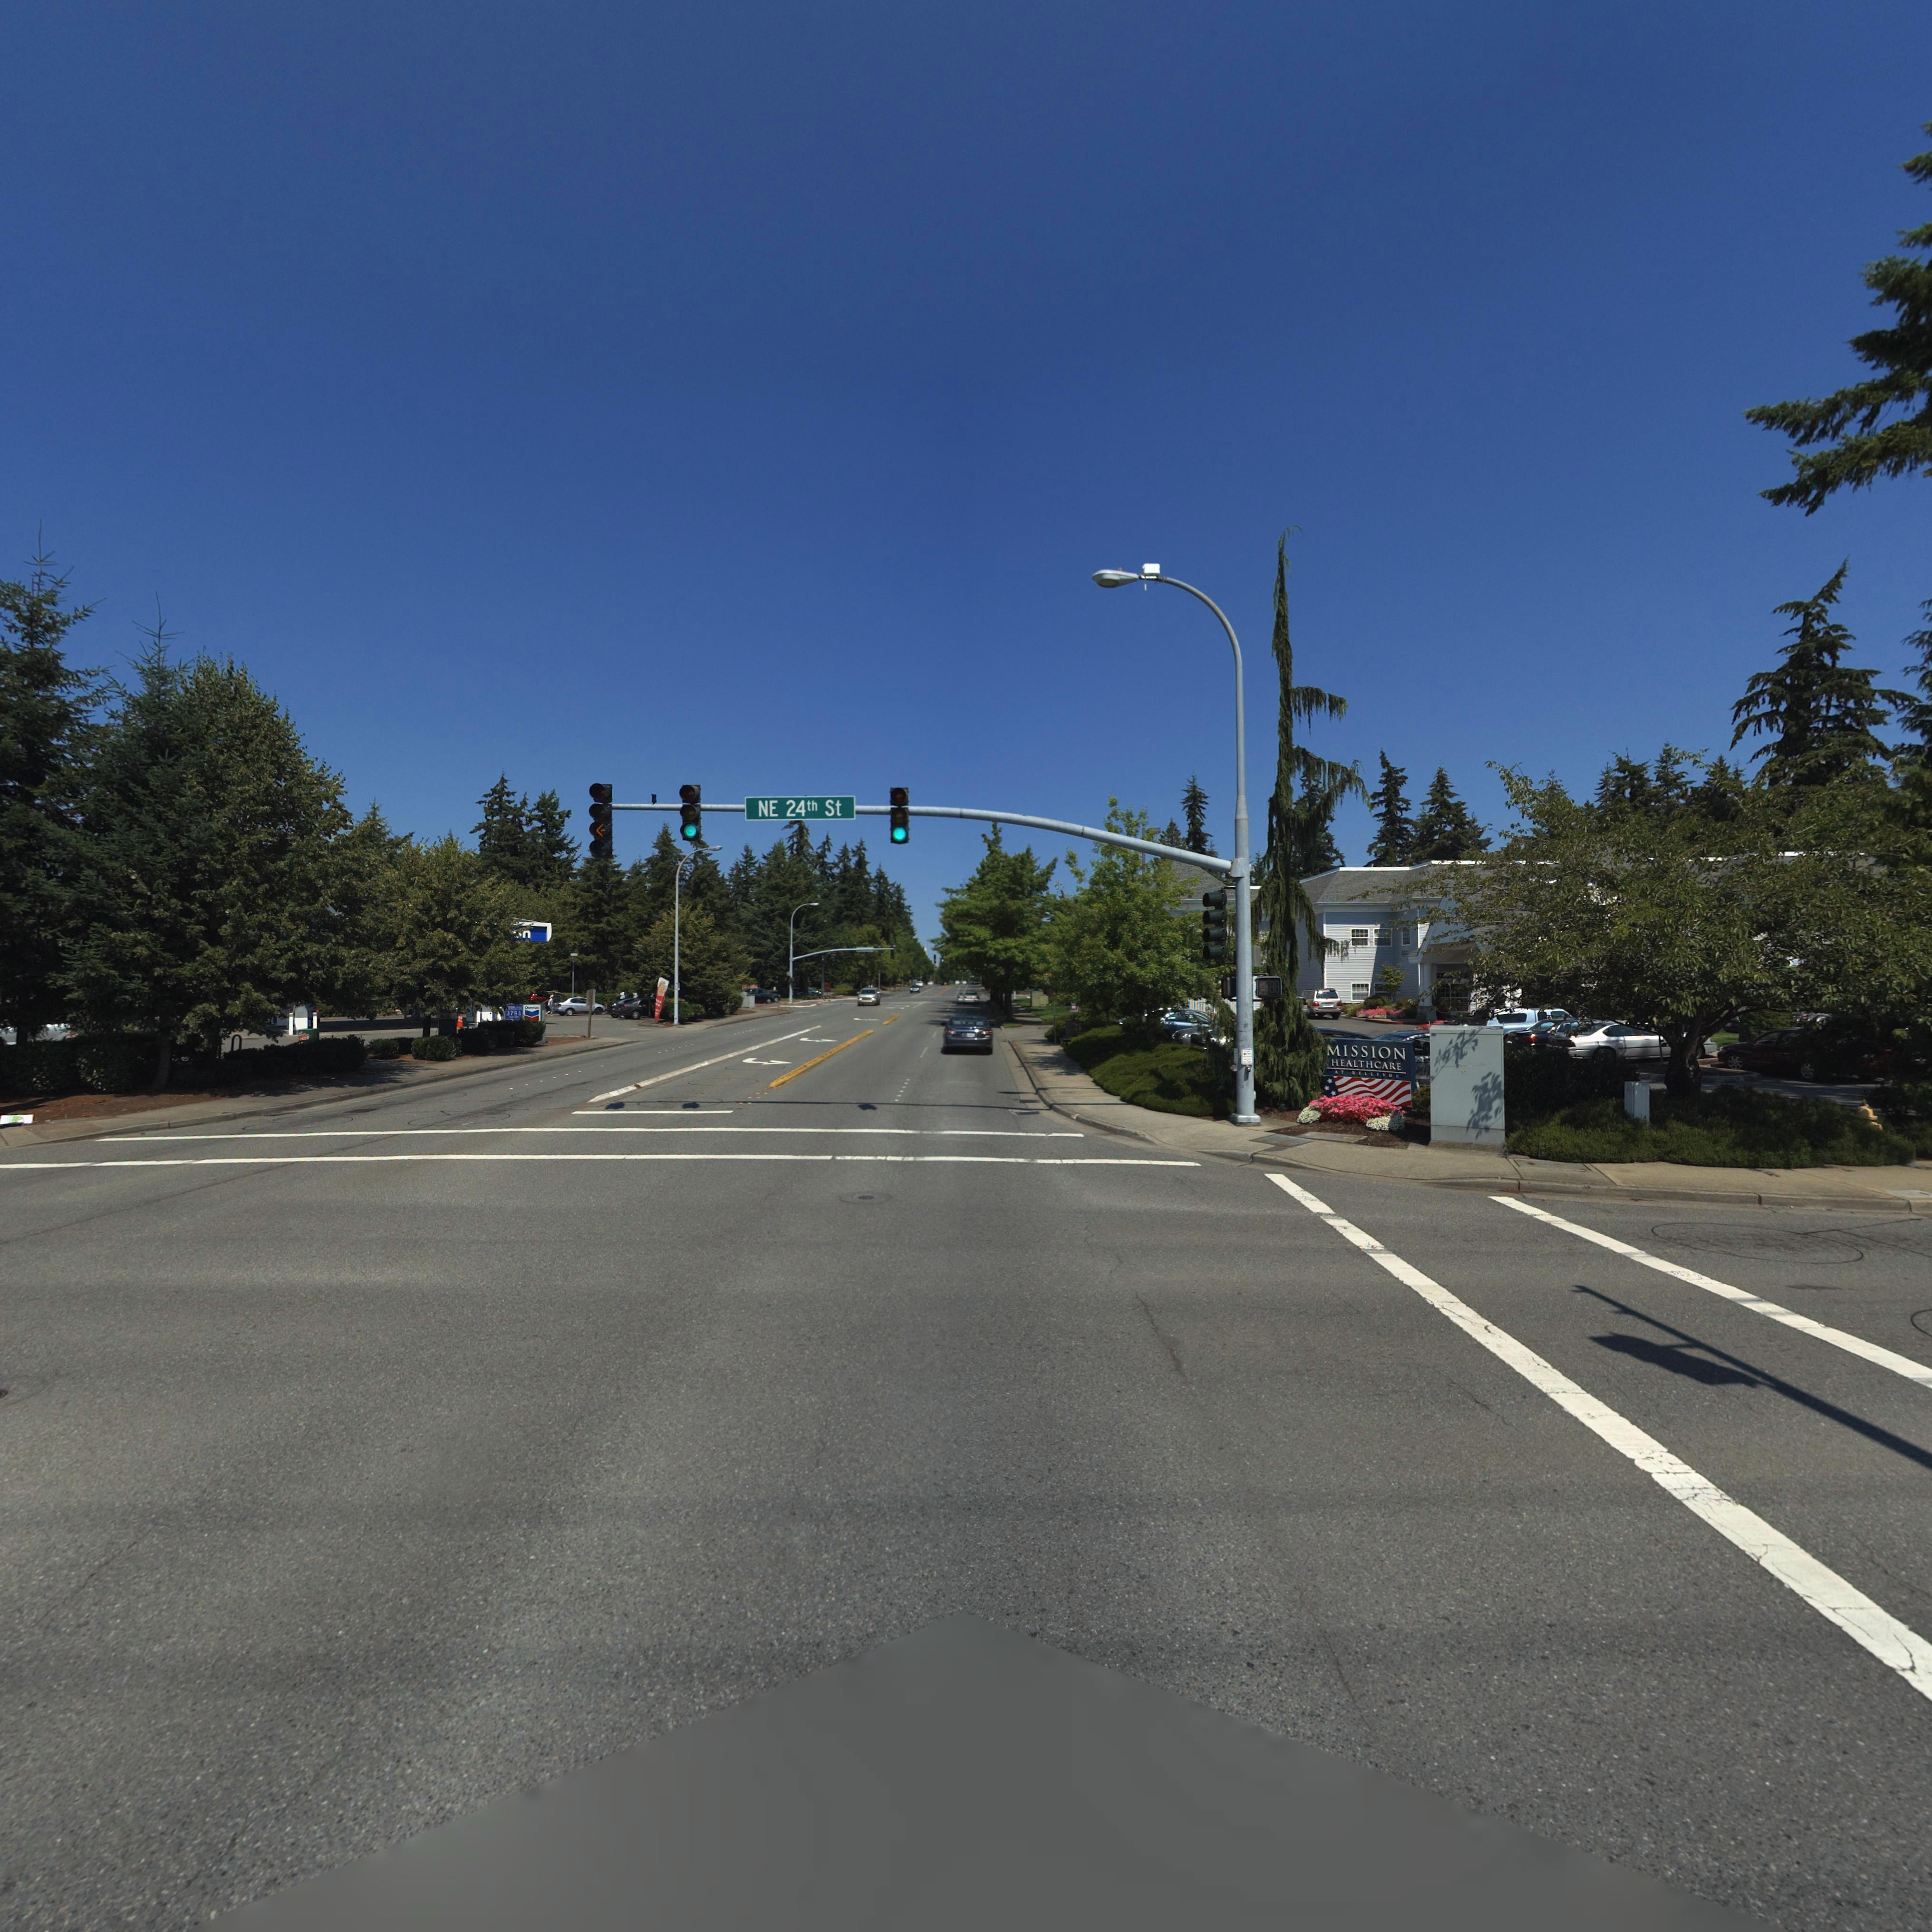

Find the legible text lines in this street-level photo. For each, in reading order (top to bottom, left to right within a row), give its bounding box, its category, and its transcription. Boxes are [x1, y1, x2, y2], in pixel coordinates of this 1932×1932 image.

[757, 800, 841, 817] StreetName: NE 24th St
[1326, 1044, 1406, 1060] BusinessName: MISSION
[1332, 1059, 1401, 1070] BusinessName: HEALTHCARE